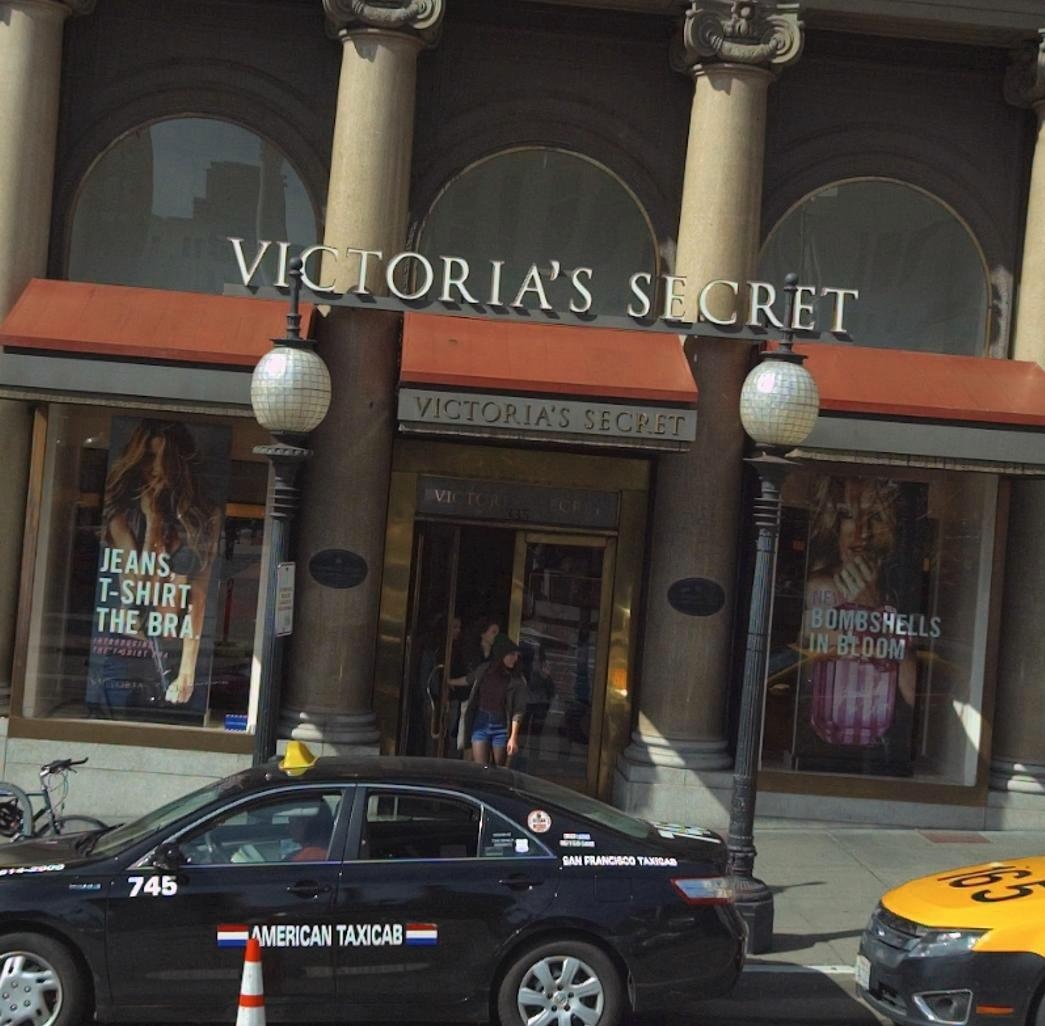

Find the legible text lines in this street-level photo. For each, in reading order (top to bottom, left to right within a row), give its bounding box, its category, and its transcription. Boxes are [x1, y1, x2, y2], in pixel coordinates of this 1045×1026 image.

[215, 225, 866, 339] BusinessName: VICTORIA'S SECRET
[409, 389, 690, 440] BusinessName: VICTORIA'S SECRET
[501, 507, 533, 525] StreetNumber: 335
[428, 485, 607, 519] BusinessName: VICTOR* SECRET
[95, 540, 180, 586] None: JEANS,
[95, 571, 198, 616] None: T-SHIRT,
[810, 584, 854, 609] None: NEW
[93, 603, 202, 645] None: THE BRA.
[808, 603, 944, 643] None: BOMBSHELLS
[805, 629, 912, 664] None: IN BLOOM
[654, 823, 723, 850] None: 7
[124, 869, 182, 900] None: 745
[557, 851, 683, 872] None: SAN FRANCISCO TAXICAB
[925, 859, 1039, 899] None: 16
[258, 920, 407, 950] None: MERICAN TAXICAB